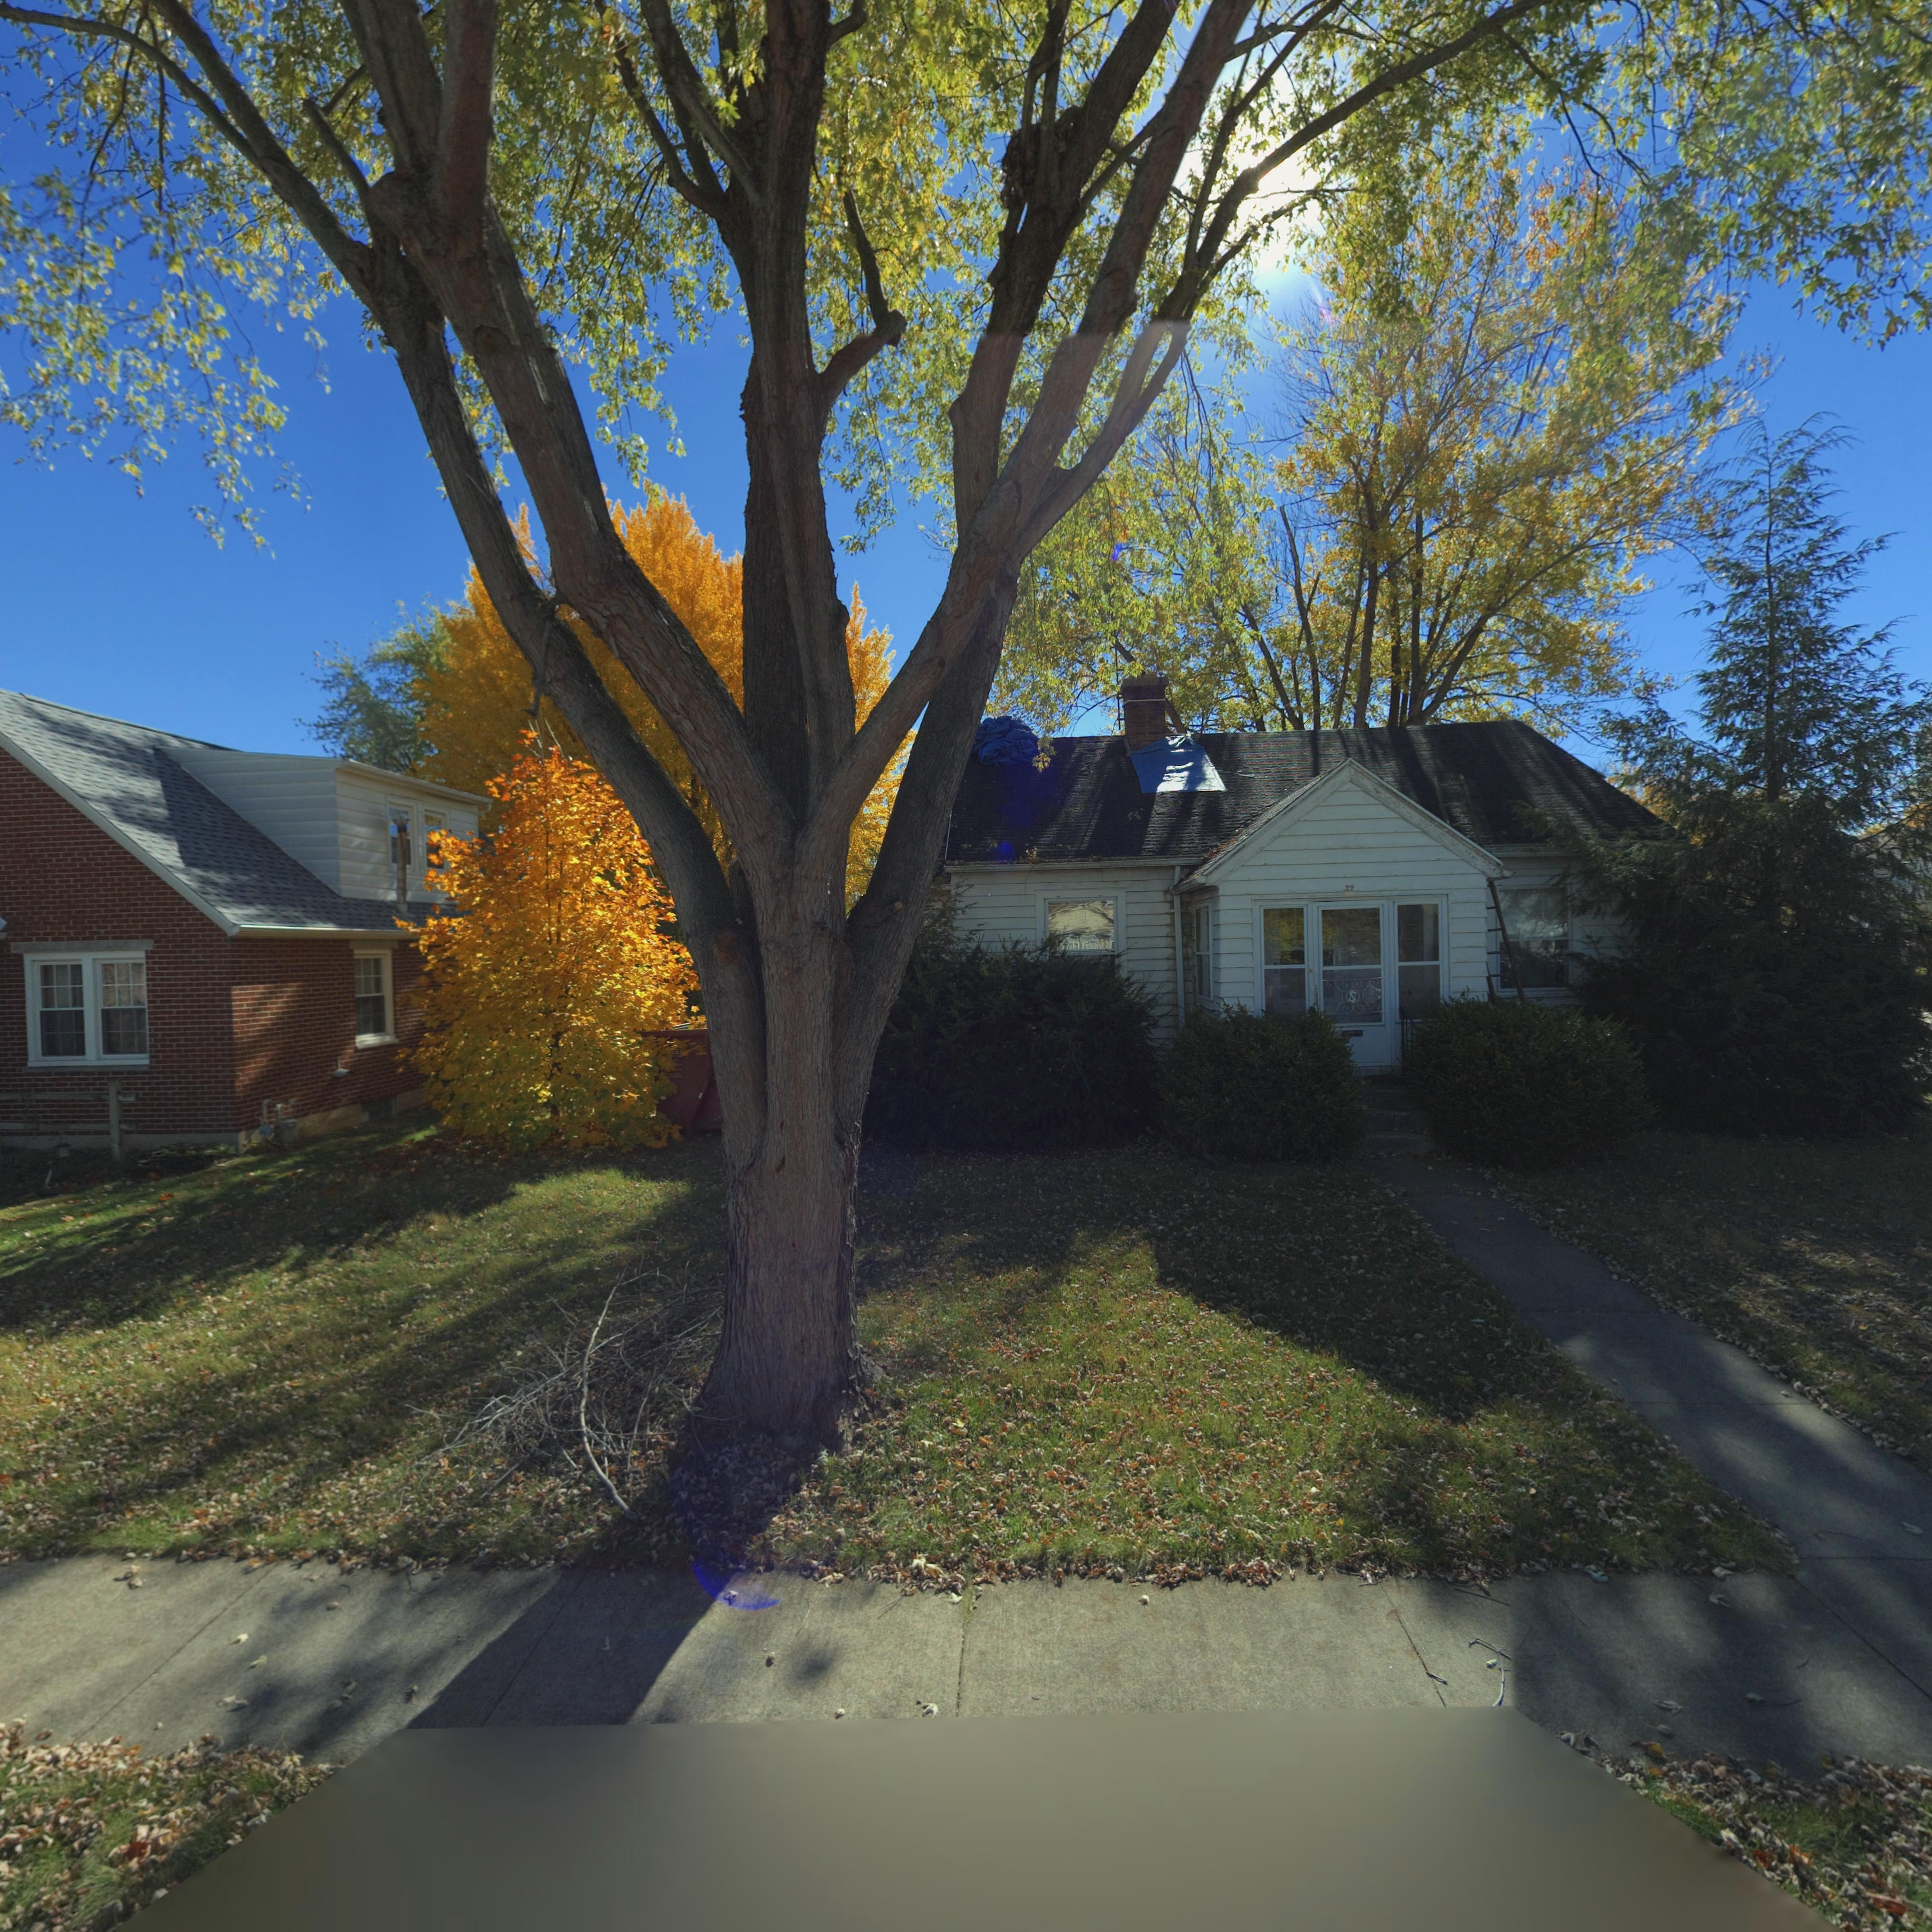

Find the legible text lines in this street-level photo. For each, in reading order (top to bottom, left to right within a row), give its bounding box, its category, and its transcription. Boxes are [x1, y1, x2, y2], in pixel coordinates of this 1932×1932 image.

[1344, 883, 1355, 891] StreetNumber: 99